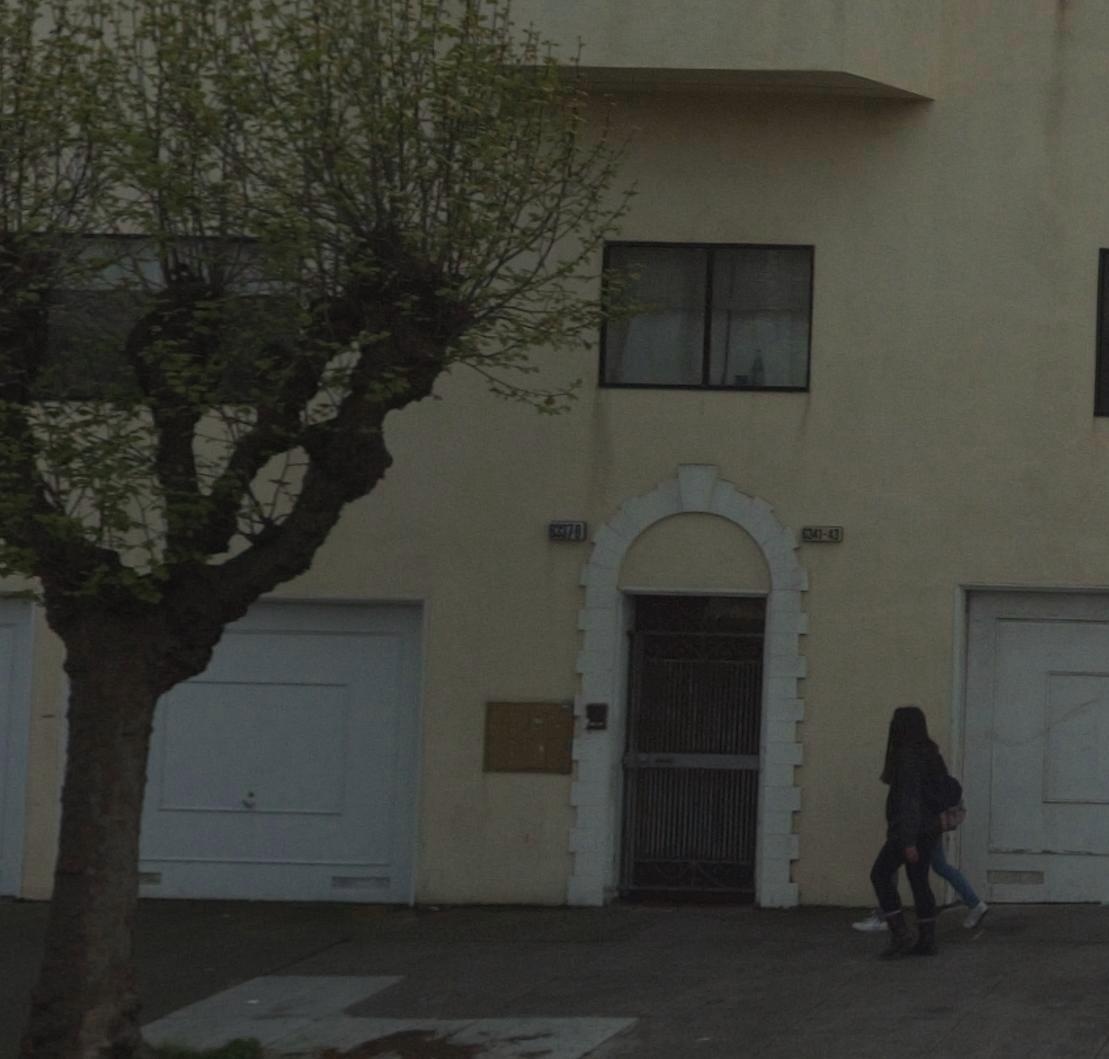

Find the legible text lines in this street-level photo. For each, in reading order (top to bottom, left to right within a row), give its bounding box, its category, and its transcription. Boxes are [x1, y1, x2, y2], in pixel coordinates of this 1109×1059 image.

[548, 523, 574, 540] StreetNumber: 6337
[574, 523, 582, 540] StreetNumber: 9
[802, 527, 823, 540] StreetNumber: 6341
[827, 528, 840, 540] StreetNumber: 43